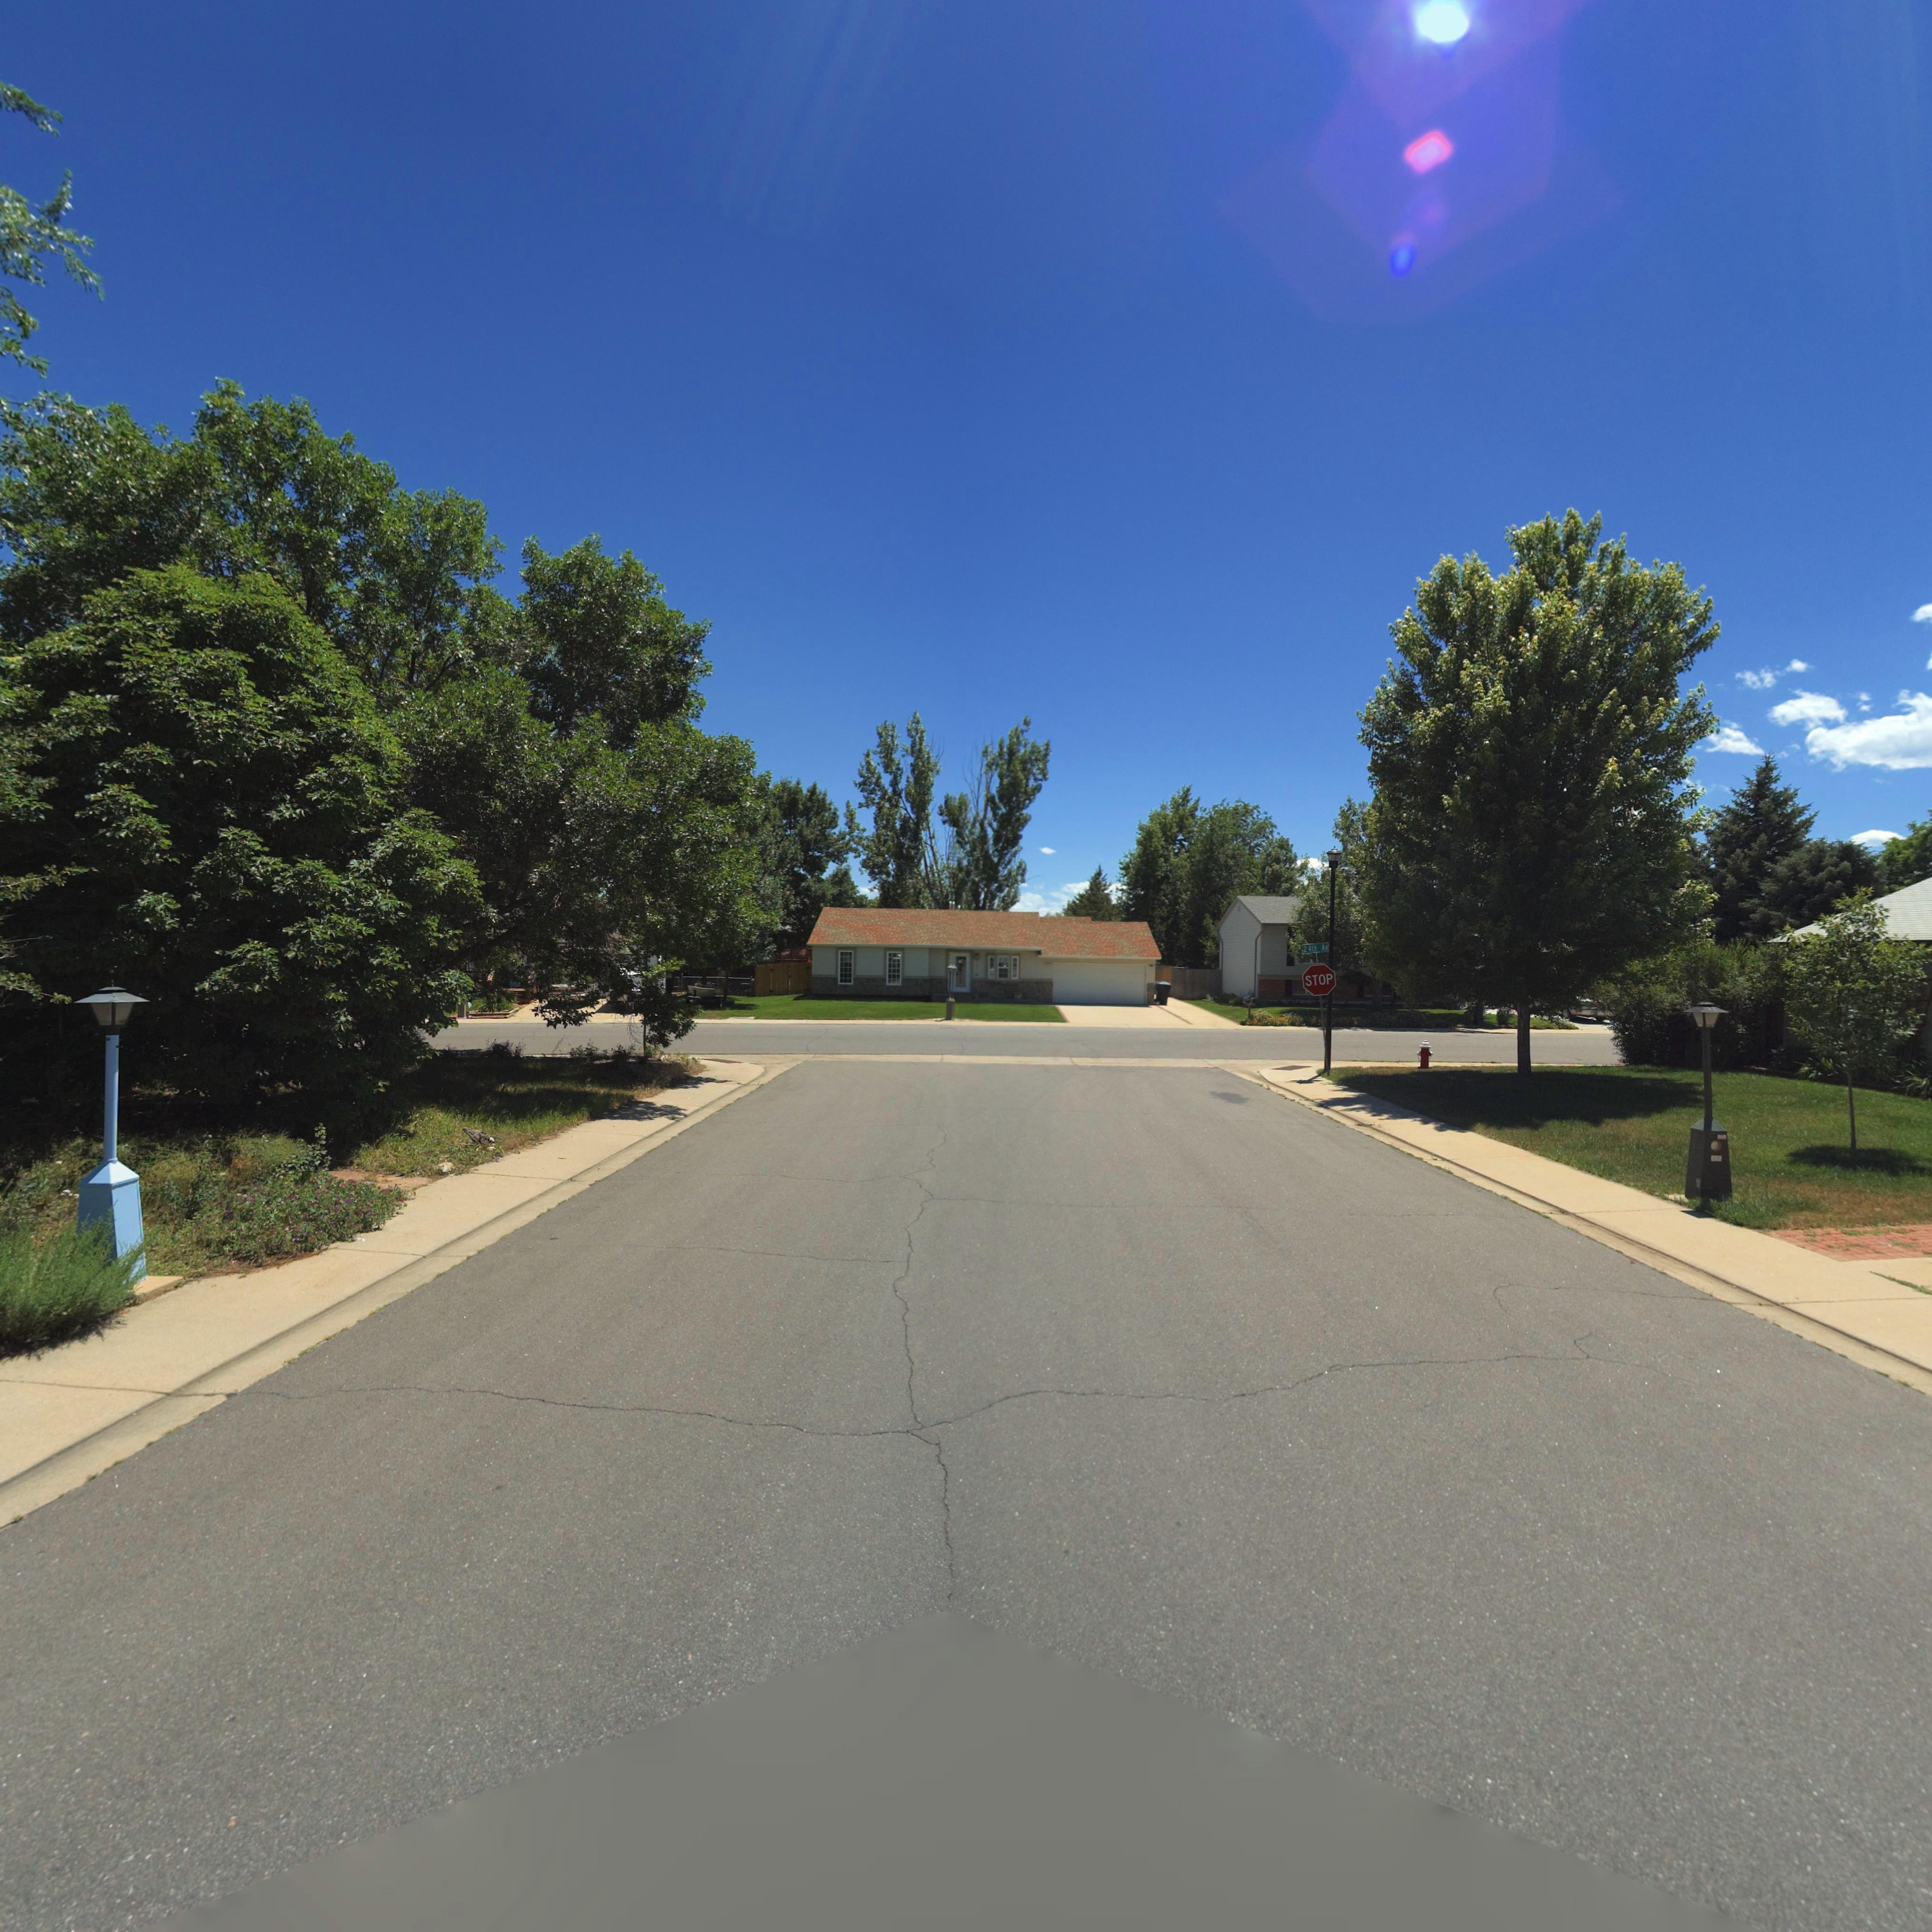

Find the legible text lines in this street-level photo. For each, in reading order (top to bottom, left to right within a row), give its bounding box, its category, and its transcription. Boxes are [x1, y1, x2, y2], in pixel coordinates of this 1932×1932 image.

[1304, 944, 1328, 952] StreetName: 24th Av